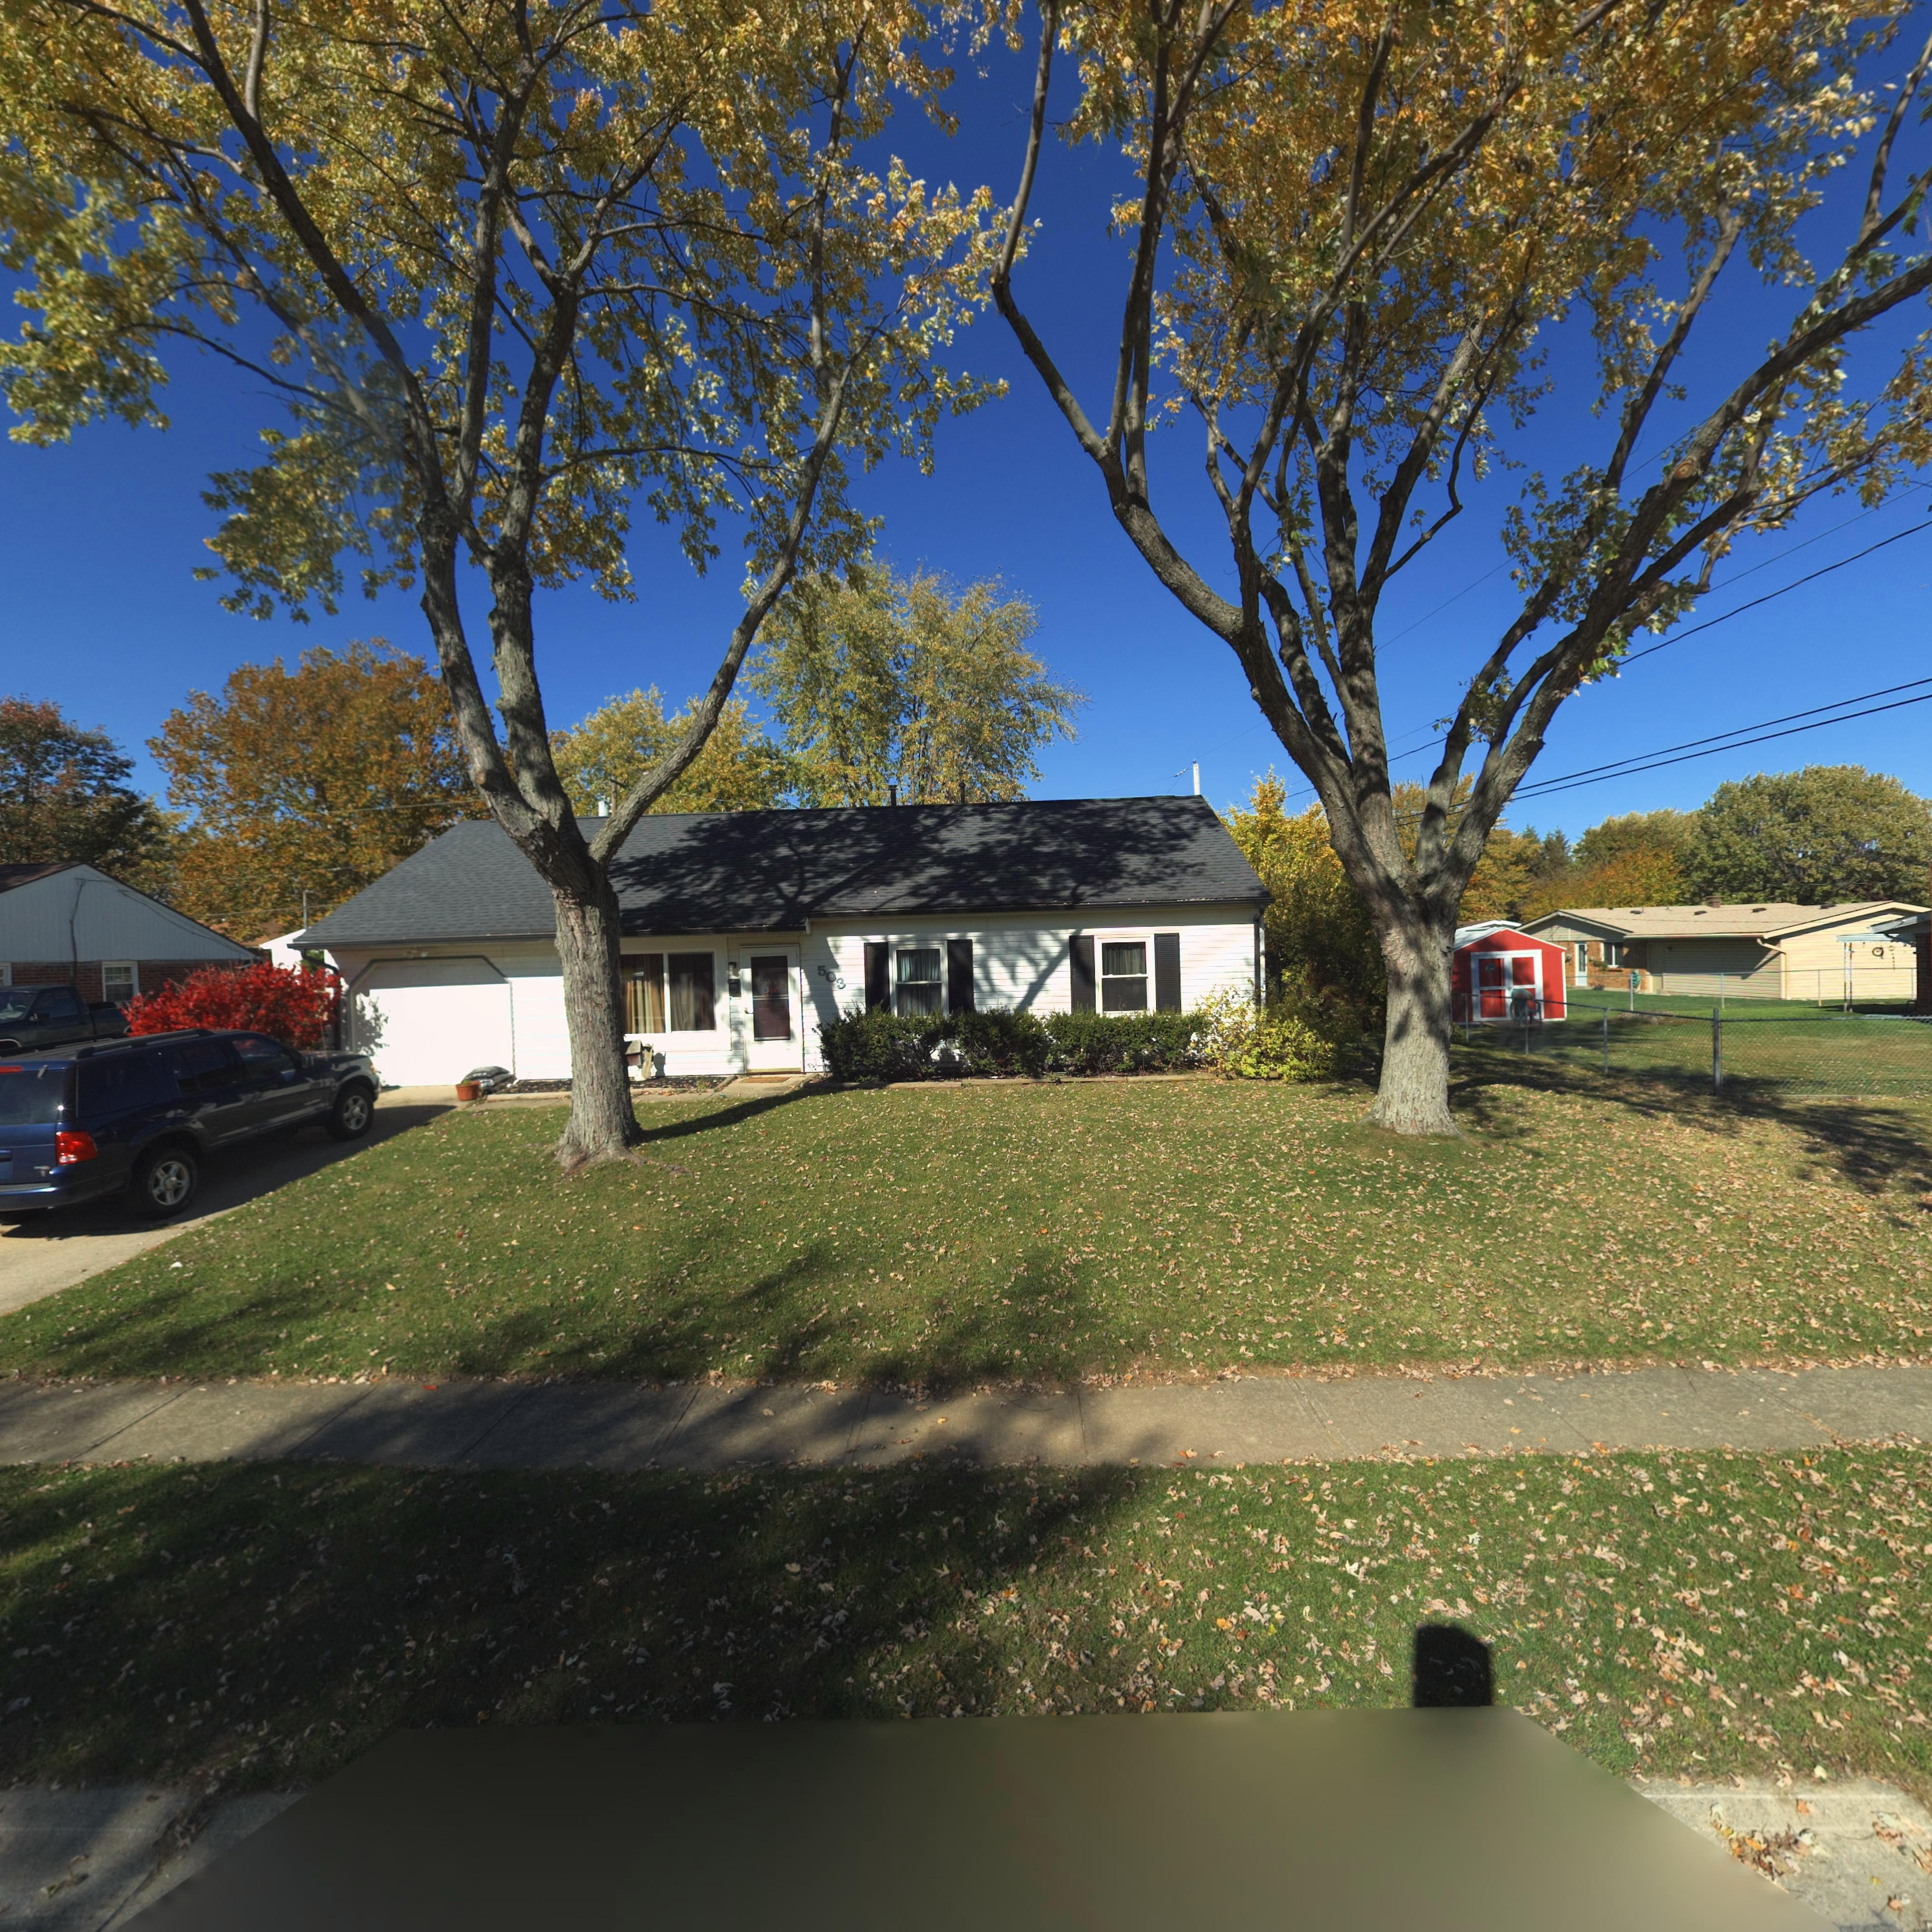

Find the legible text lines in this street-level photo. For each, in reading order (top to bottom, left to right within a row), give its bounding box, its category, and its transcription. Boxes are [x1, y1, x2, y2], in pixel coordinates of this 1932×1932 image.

[817, 965, 847, 990] StreetNumber: 503